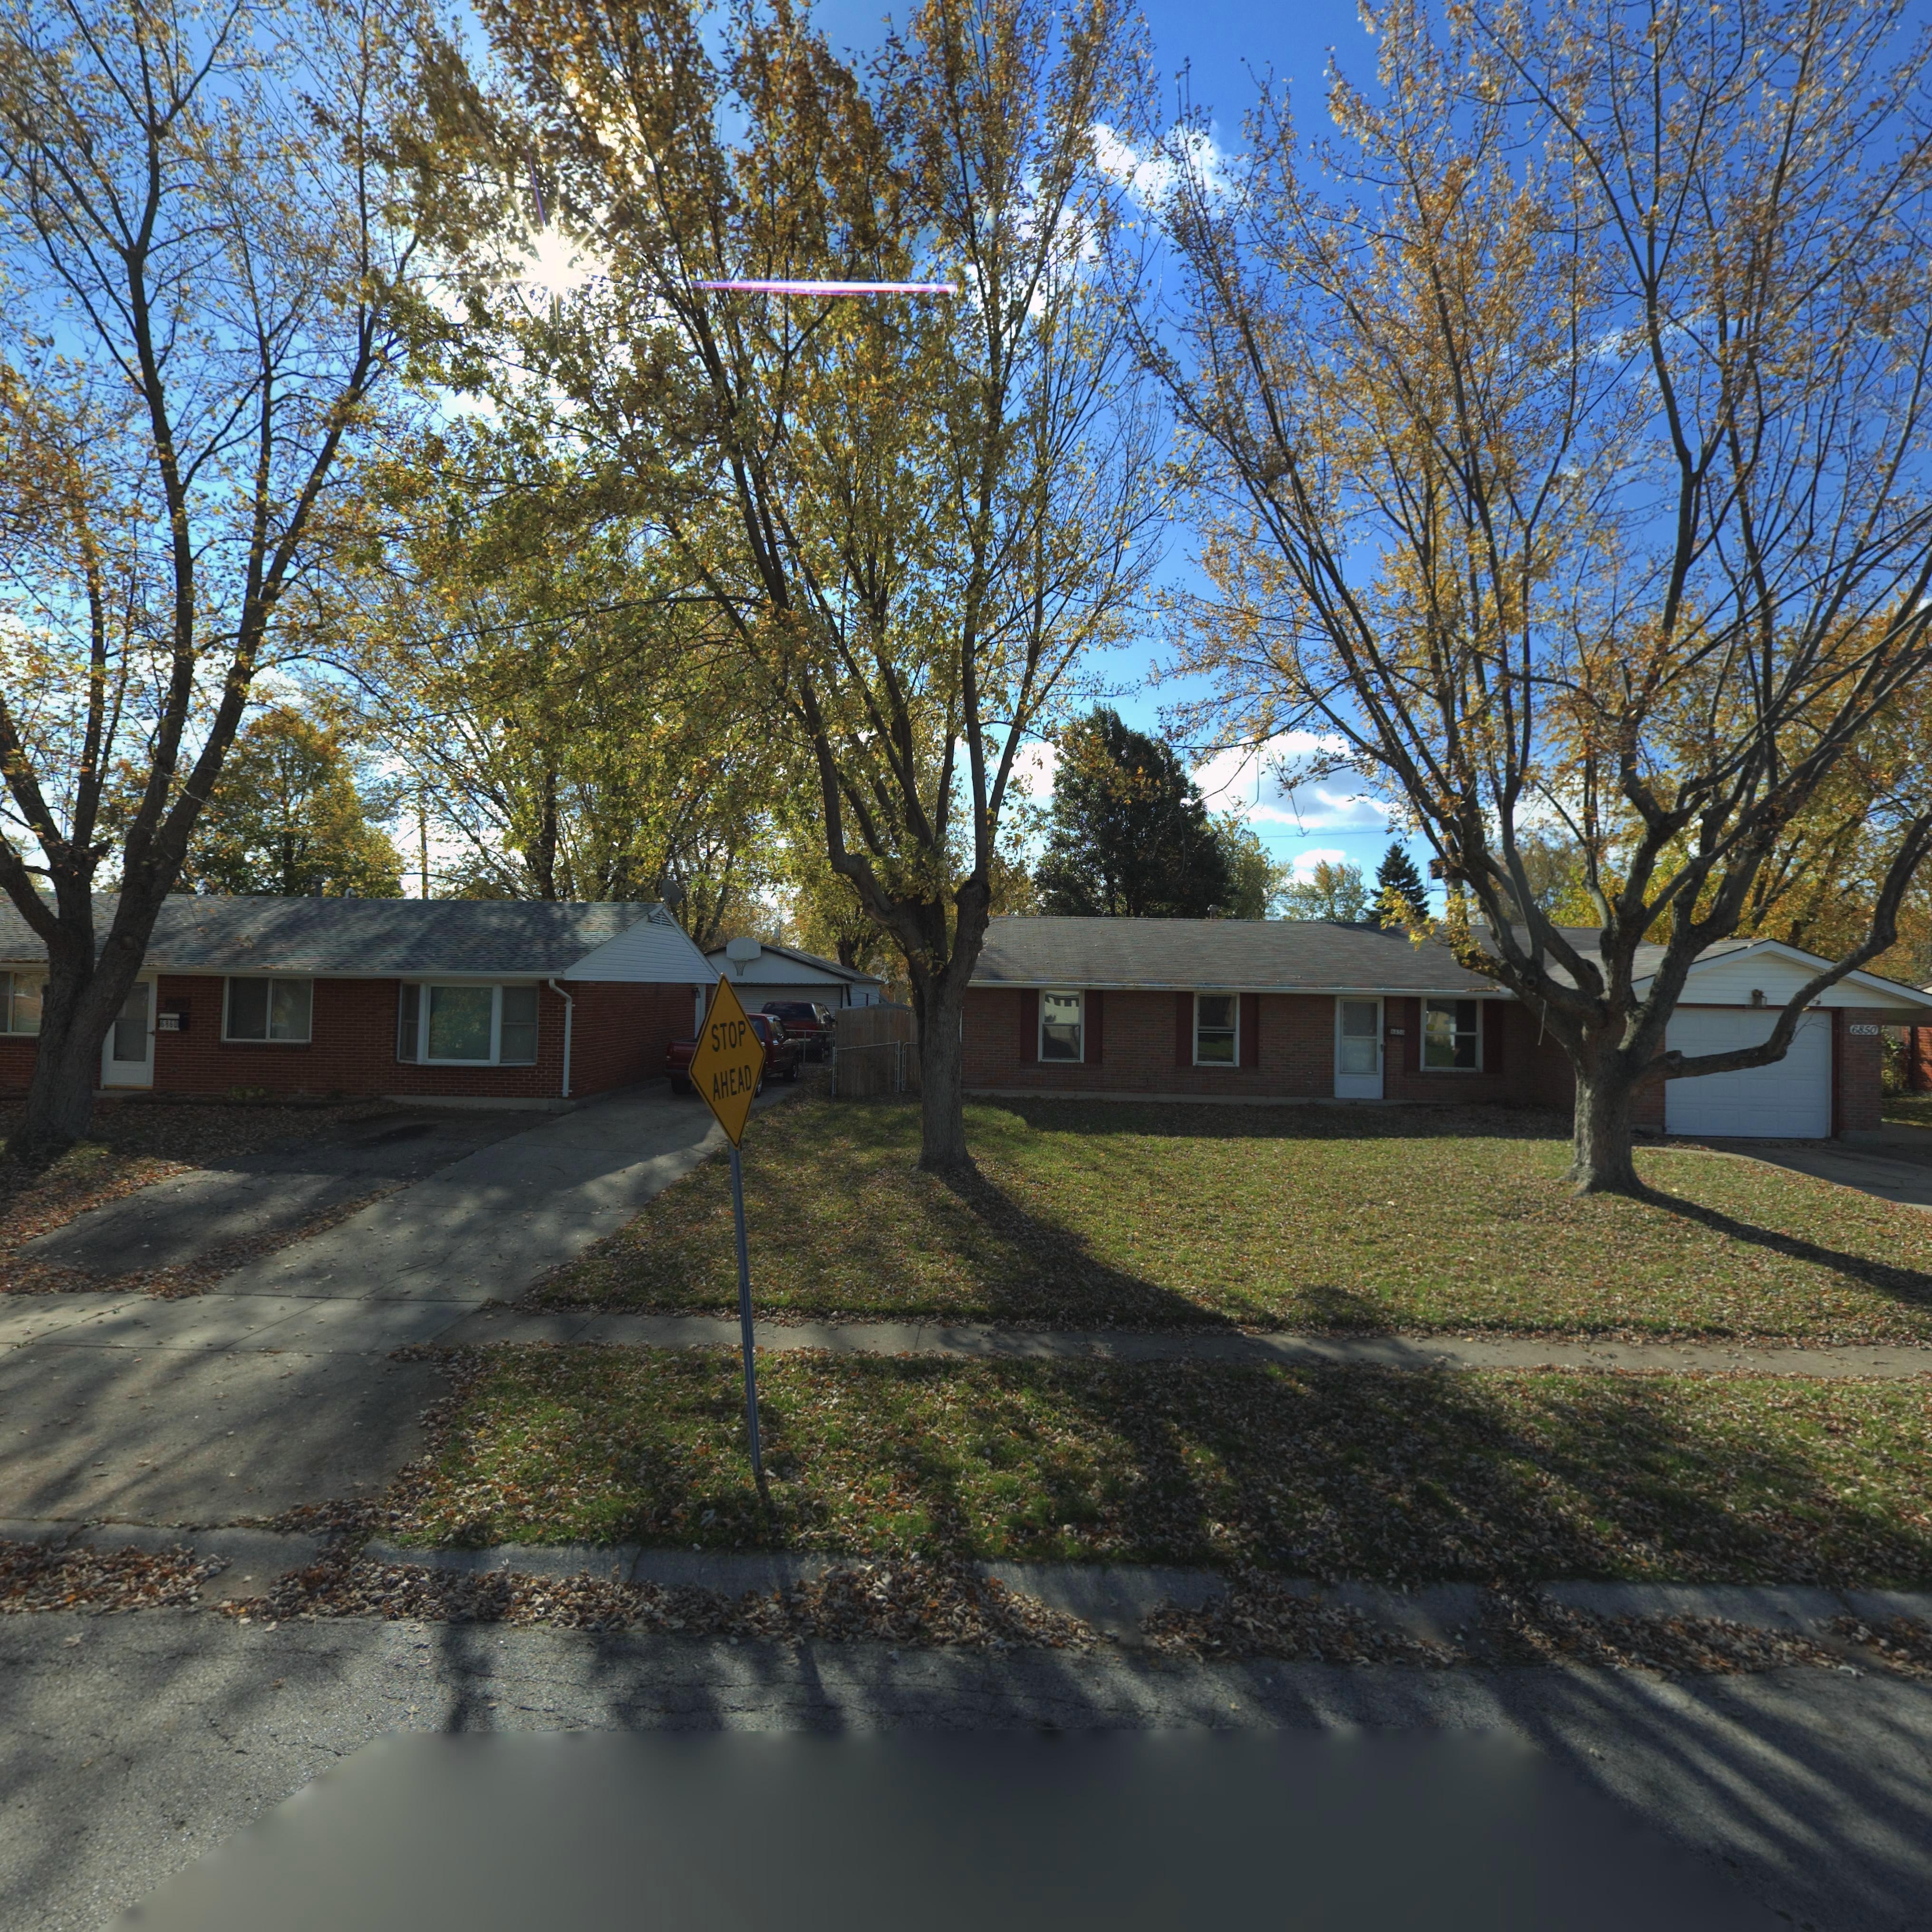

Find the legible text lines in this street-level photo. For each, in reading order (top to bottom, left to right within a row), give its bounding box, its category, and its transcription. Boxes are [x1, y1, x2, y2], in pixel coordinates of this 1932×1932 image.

[158, 1018, 180, 1030] StreetNumber: 6***
[1851, 1024, 1878, 1035] StreetNumber: 6850